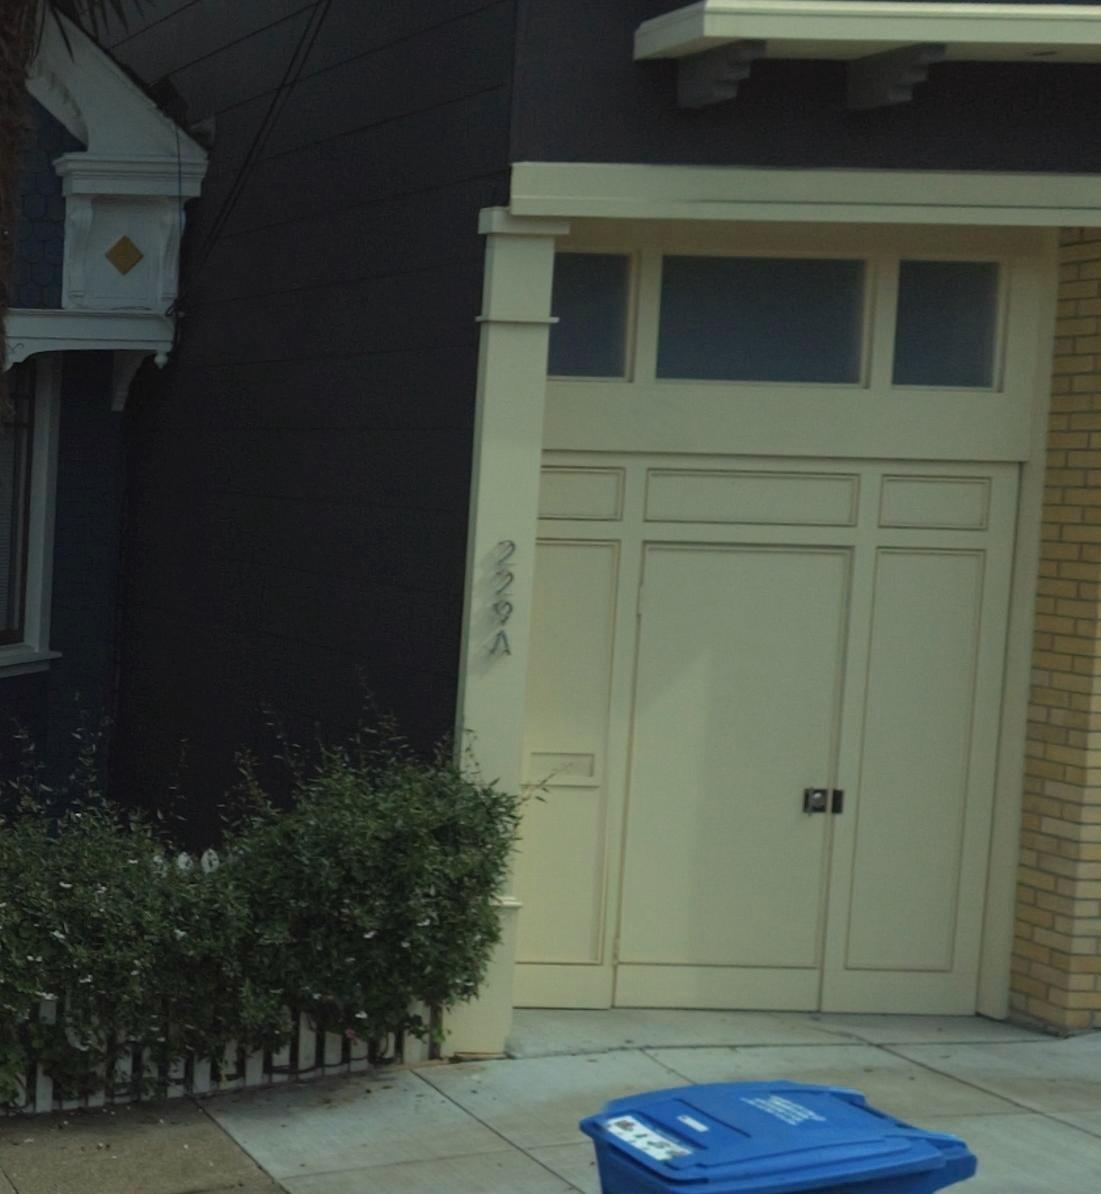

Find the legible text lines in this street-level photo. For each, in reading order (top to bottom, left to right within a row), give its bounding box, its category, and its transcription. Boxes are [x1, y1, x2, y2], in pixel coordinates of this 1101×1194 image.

[487, 536, 517, 658] StreetNumber: 229a